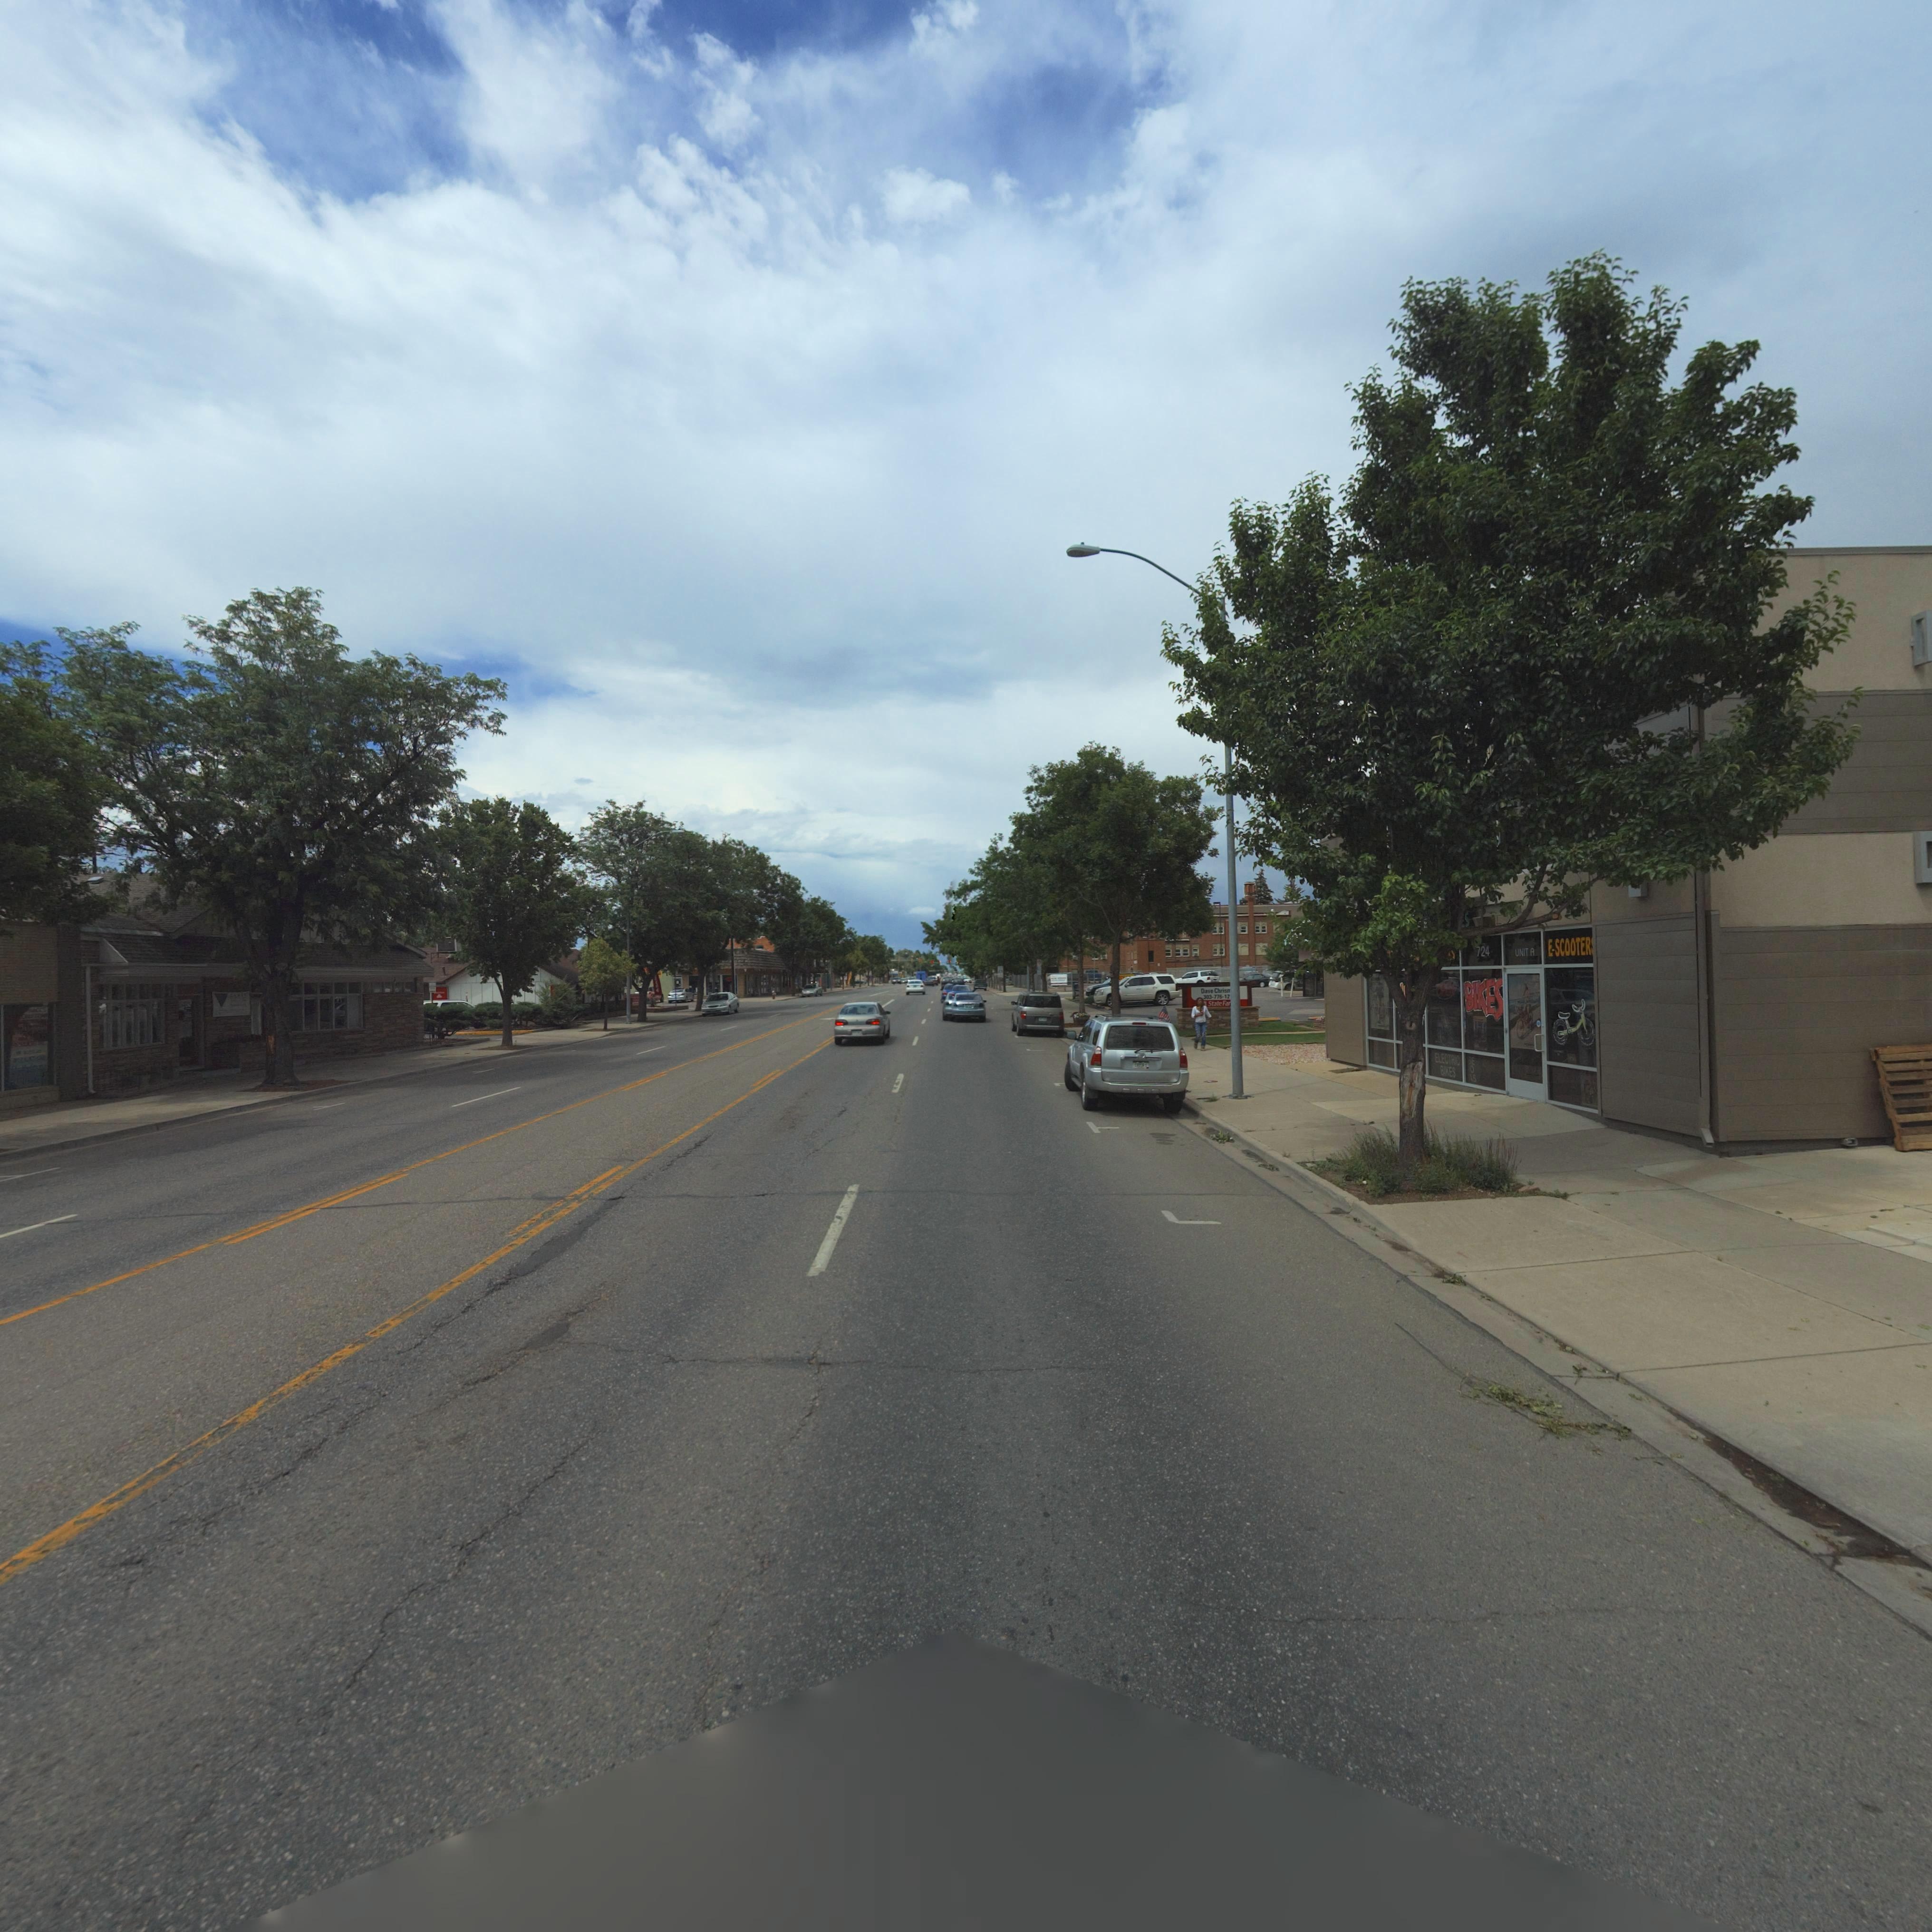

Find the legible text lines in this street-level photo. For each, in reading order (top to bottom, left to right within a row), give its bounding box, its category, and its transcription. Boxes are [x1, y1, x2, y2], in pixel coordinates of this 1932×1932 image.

[1476, 945, 1489, 957] StreetNumber: 724
[1515, 947, 1534, 956] SecondaryUnitDesignator: UNIT A
[1207, 1000, 1230, 1006] BusinessName: State Far